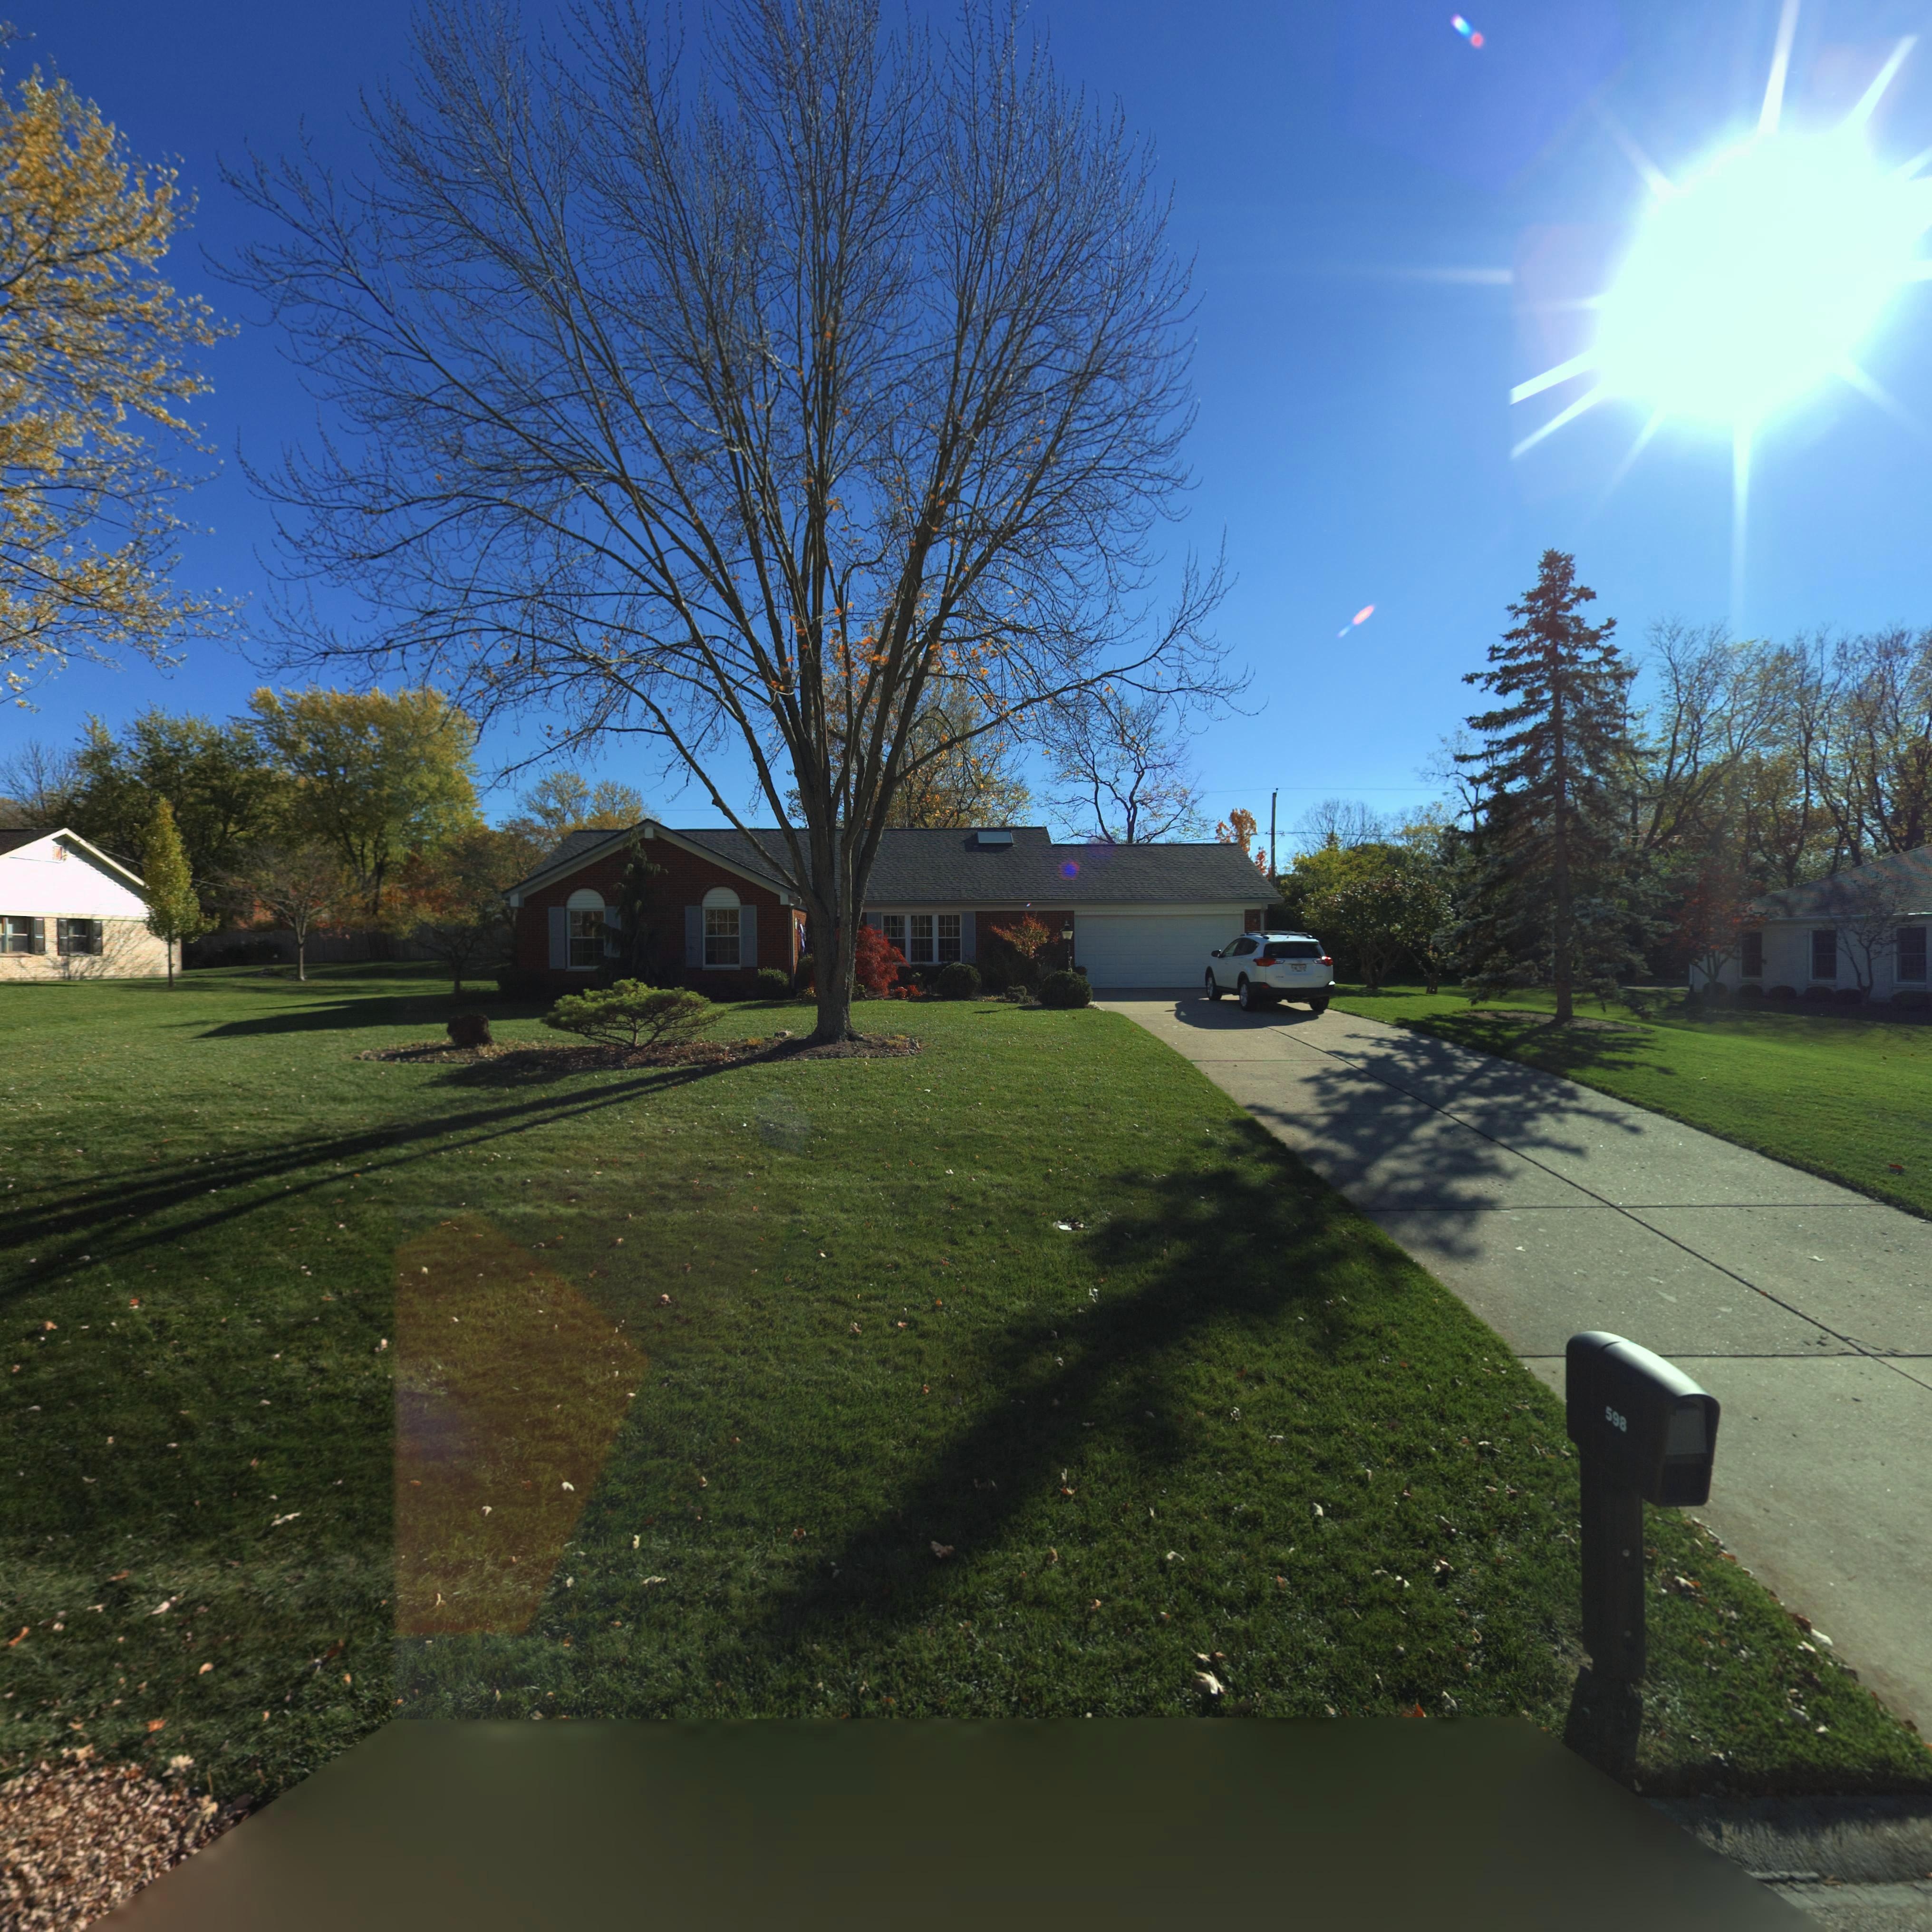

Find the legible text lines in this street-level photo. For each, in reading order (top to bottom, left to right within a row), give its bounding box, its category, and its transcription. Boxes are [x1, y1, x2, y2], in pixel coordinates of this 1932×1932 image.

[1604, 1402, 1629, 1436] StreetNumber: 598